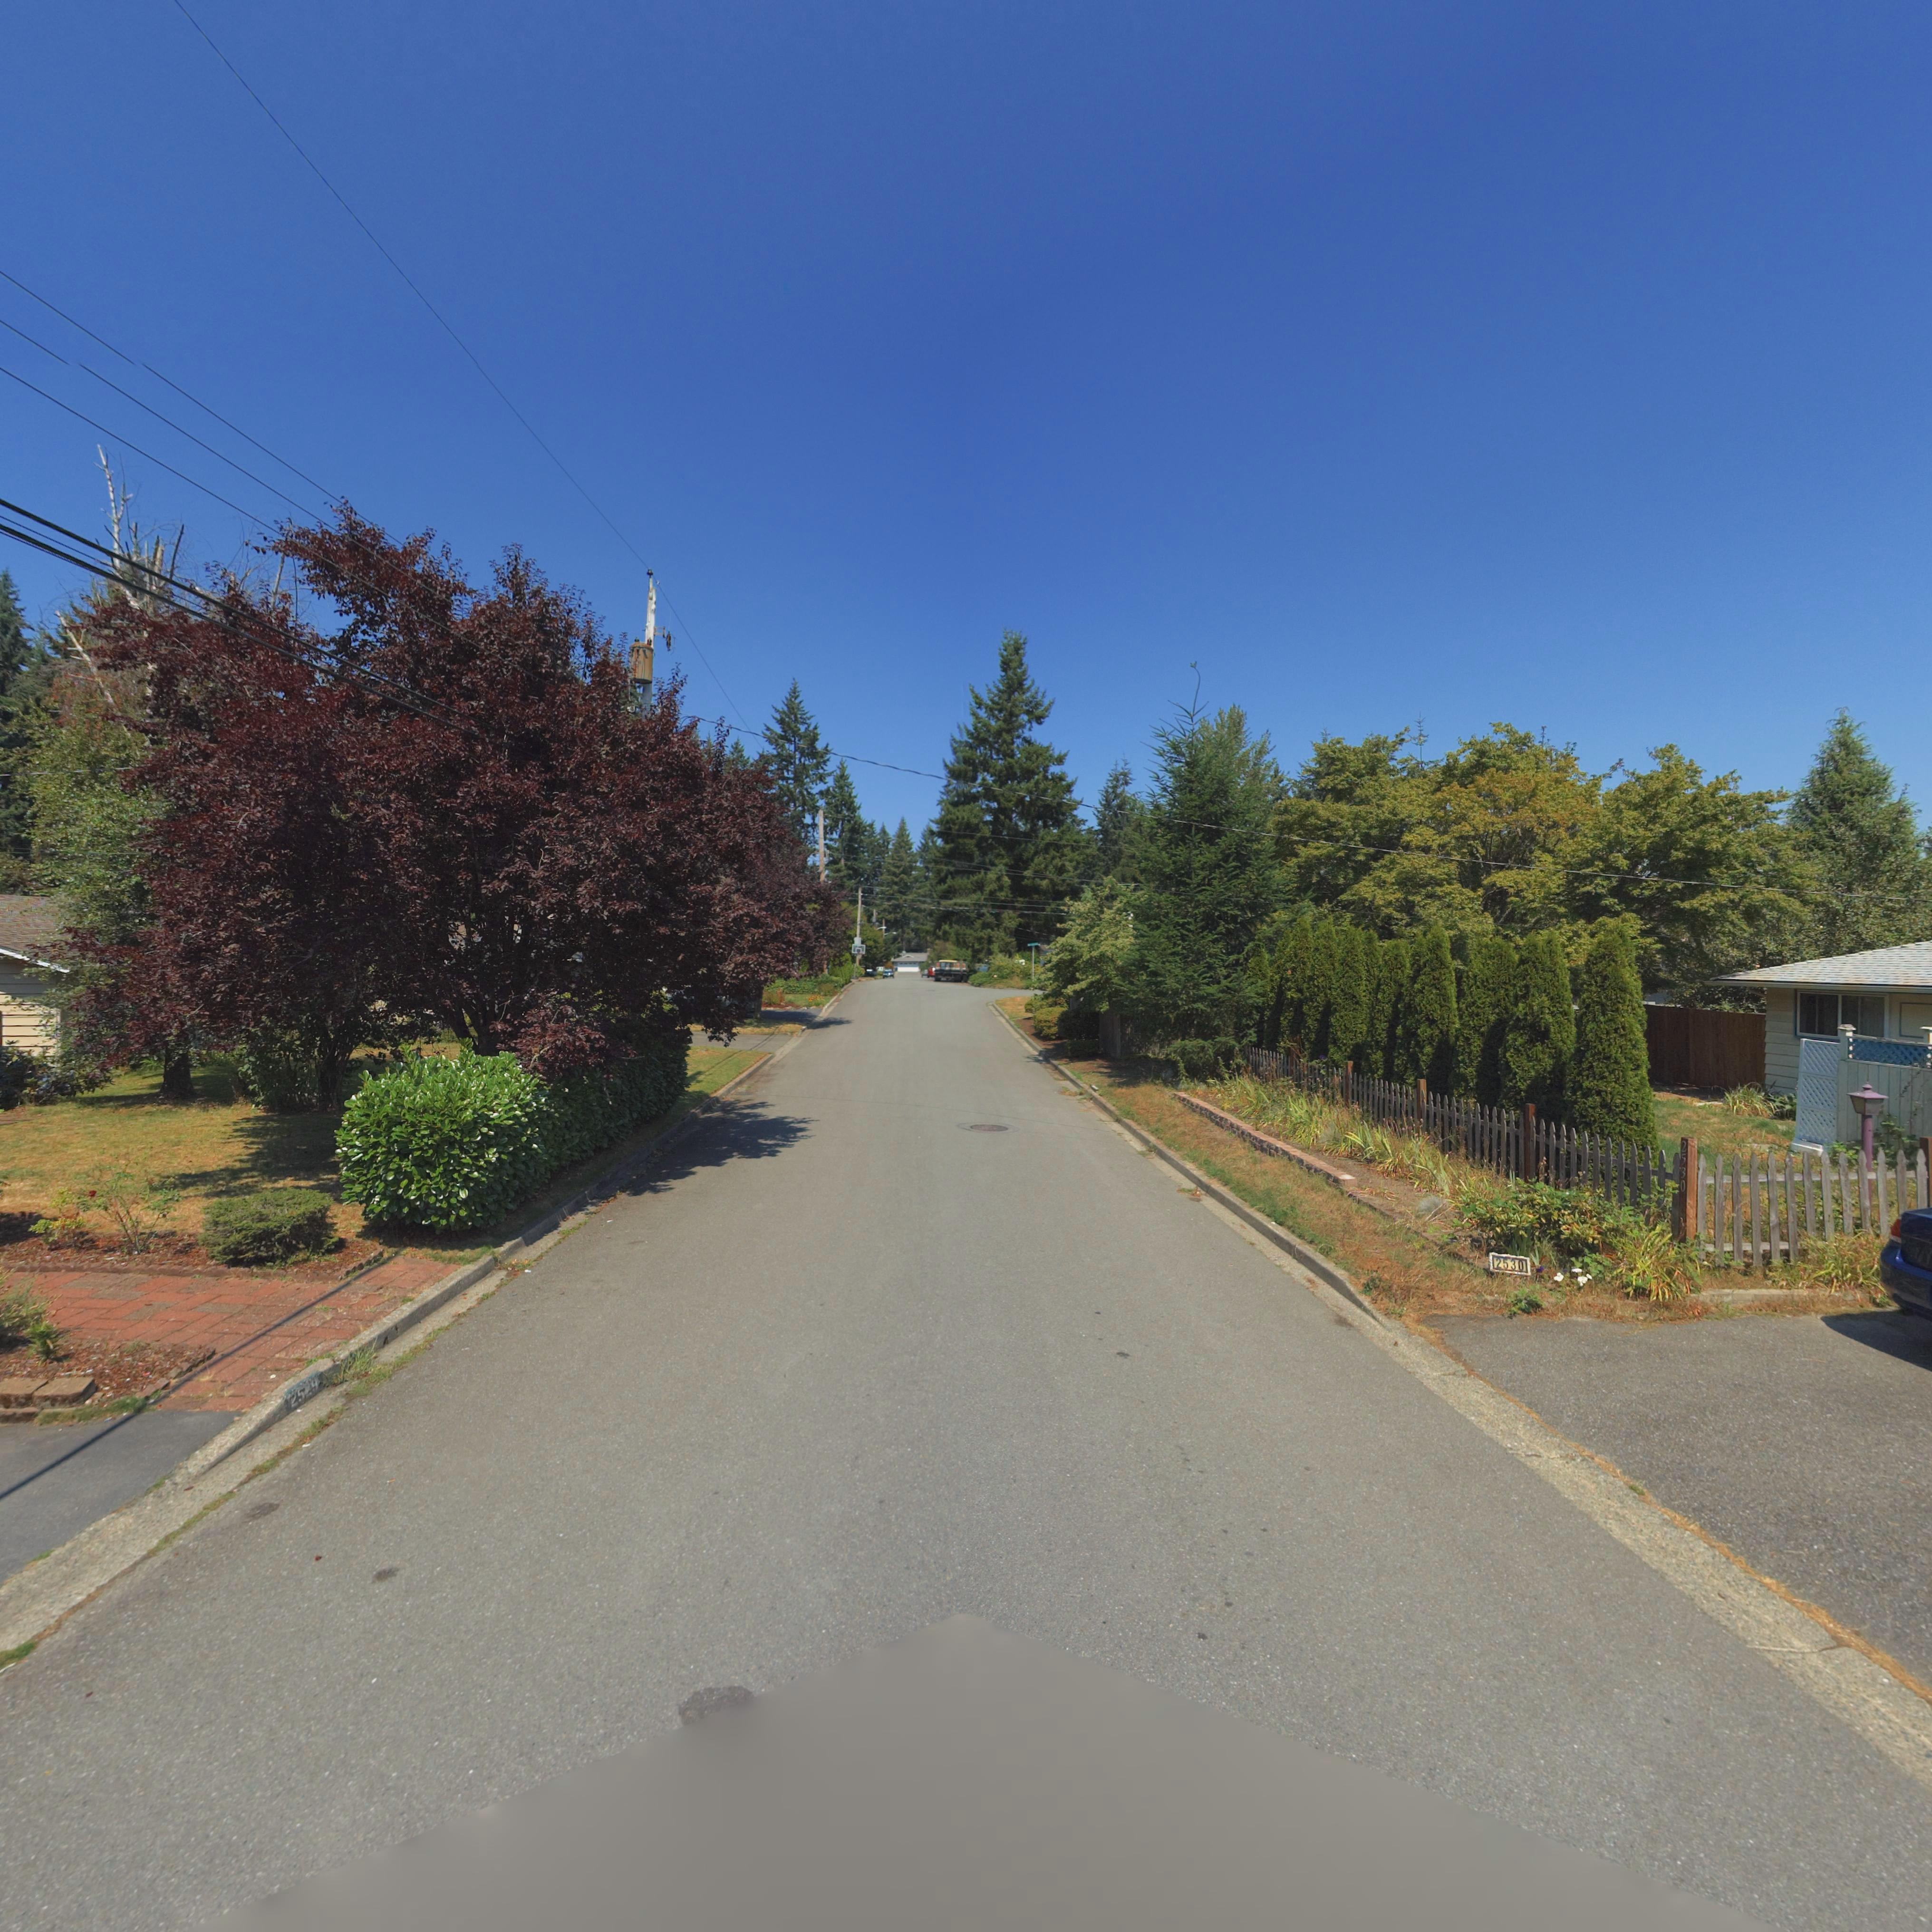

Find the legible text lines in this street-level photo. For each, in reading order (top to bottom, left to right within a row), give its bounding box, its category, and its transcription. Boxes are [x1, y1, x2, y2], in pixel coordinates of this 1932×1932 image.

[1494, 1257, 1525, 1273] StreetNumber: 2530
[289, 1376, 319, 1410] StreetNumber: 2529